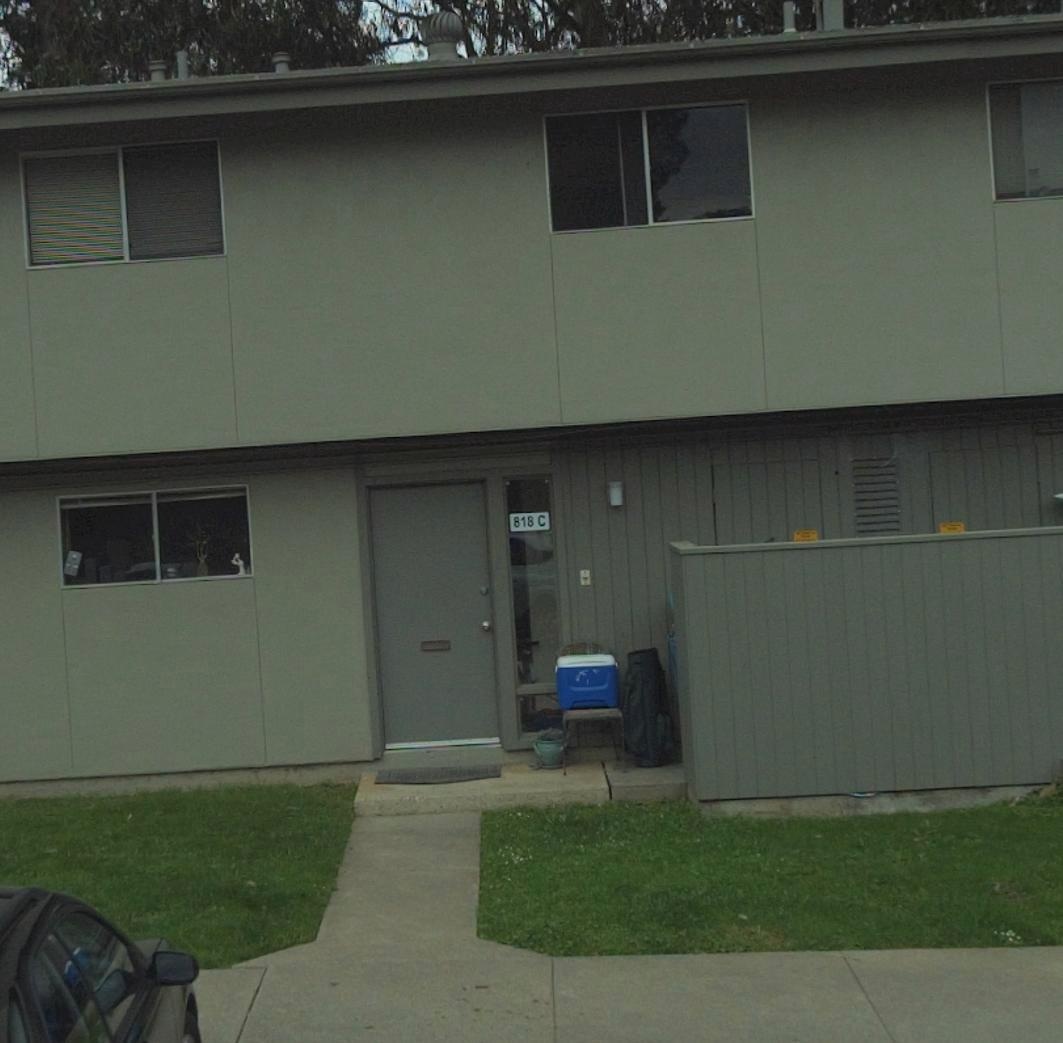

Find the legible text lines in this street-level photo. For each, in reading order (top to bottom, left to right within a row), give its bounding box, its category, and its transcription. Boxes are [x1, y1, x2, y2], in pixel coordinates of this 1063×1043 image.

[512, 514, 547, 529] StreetNumber: 818 C